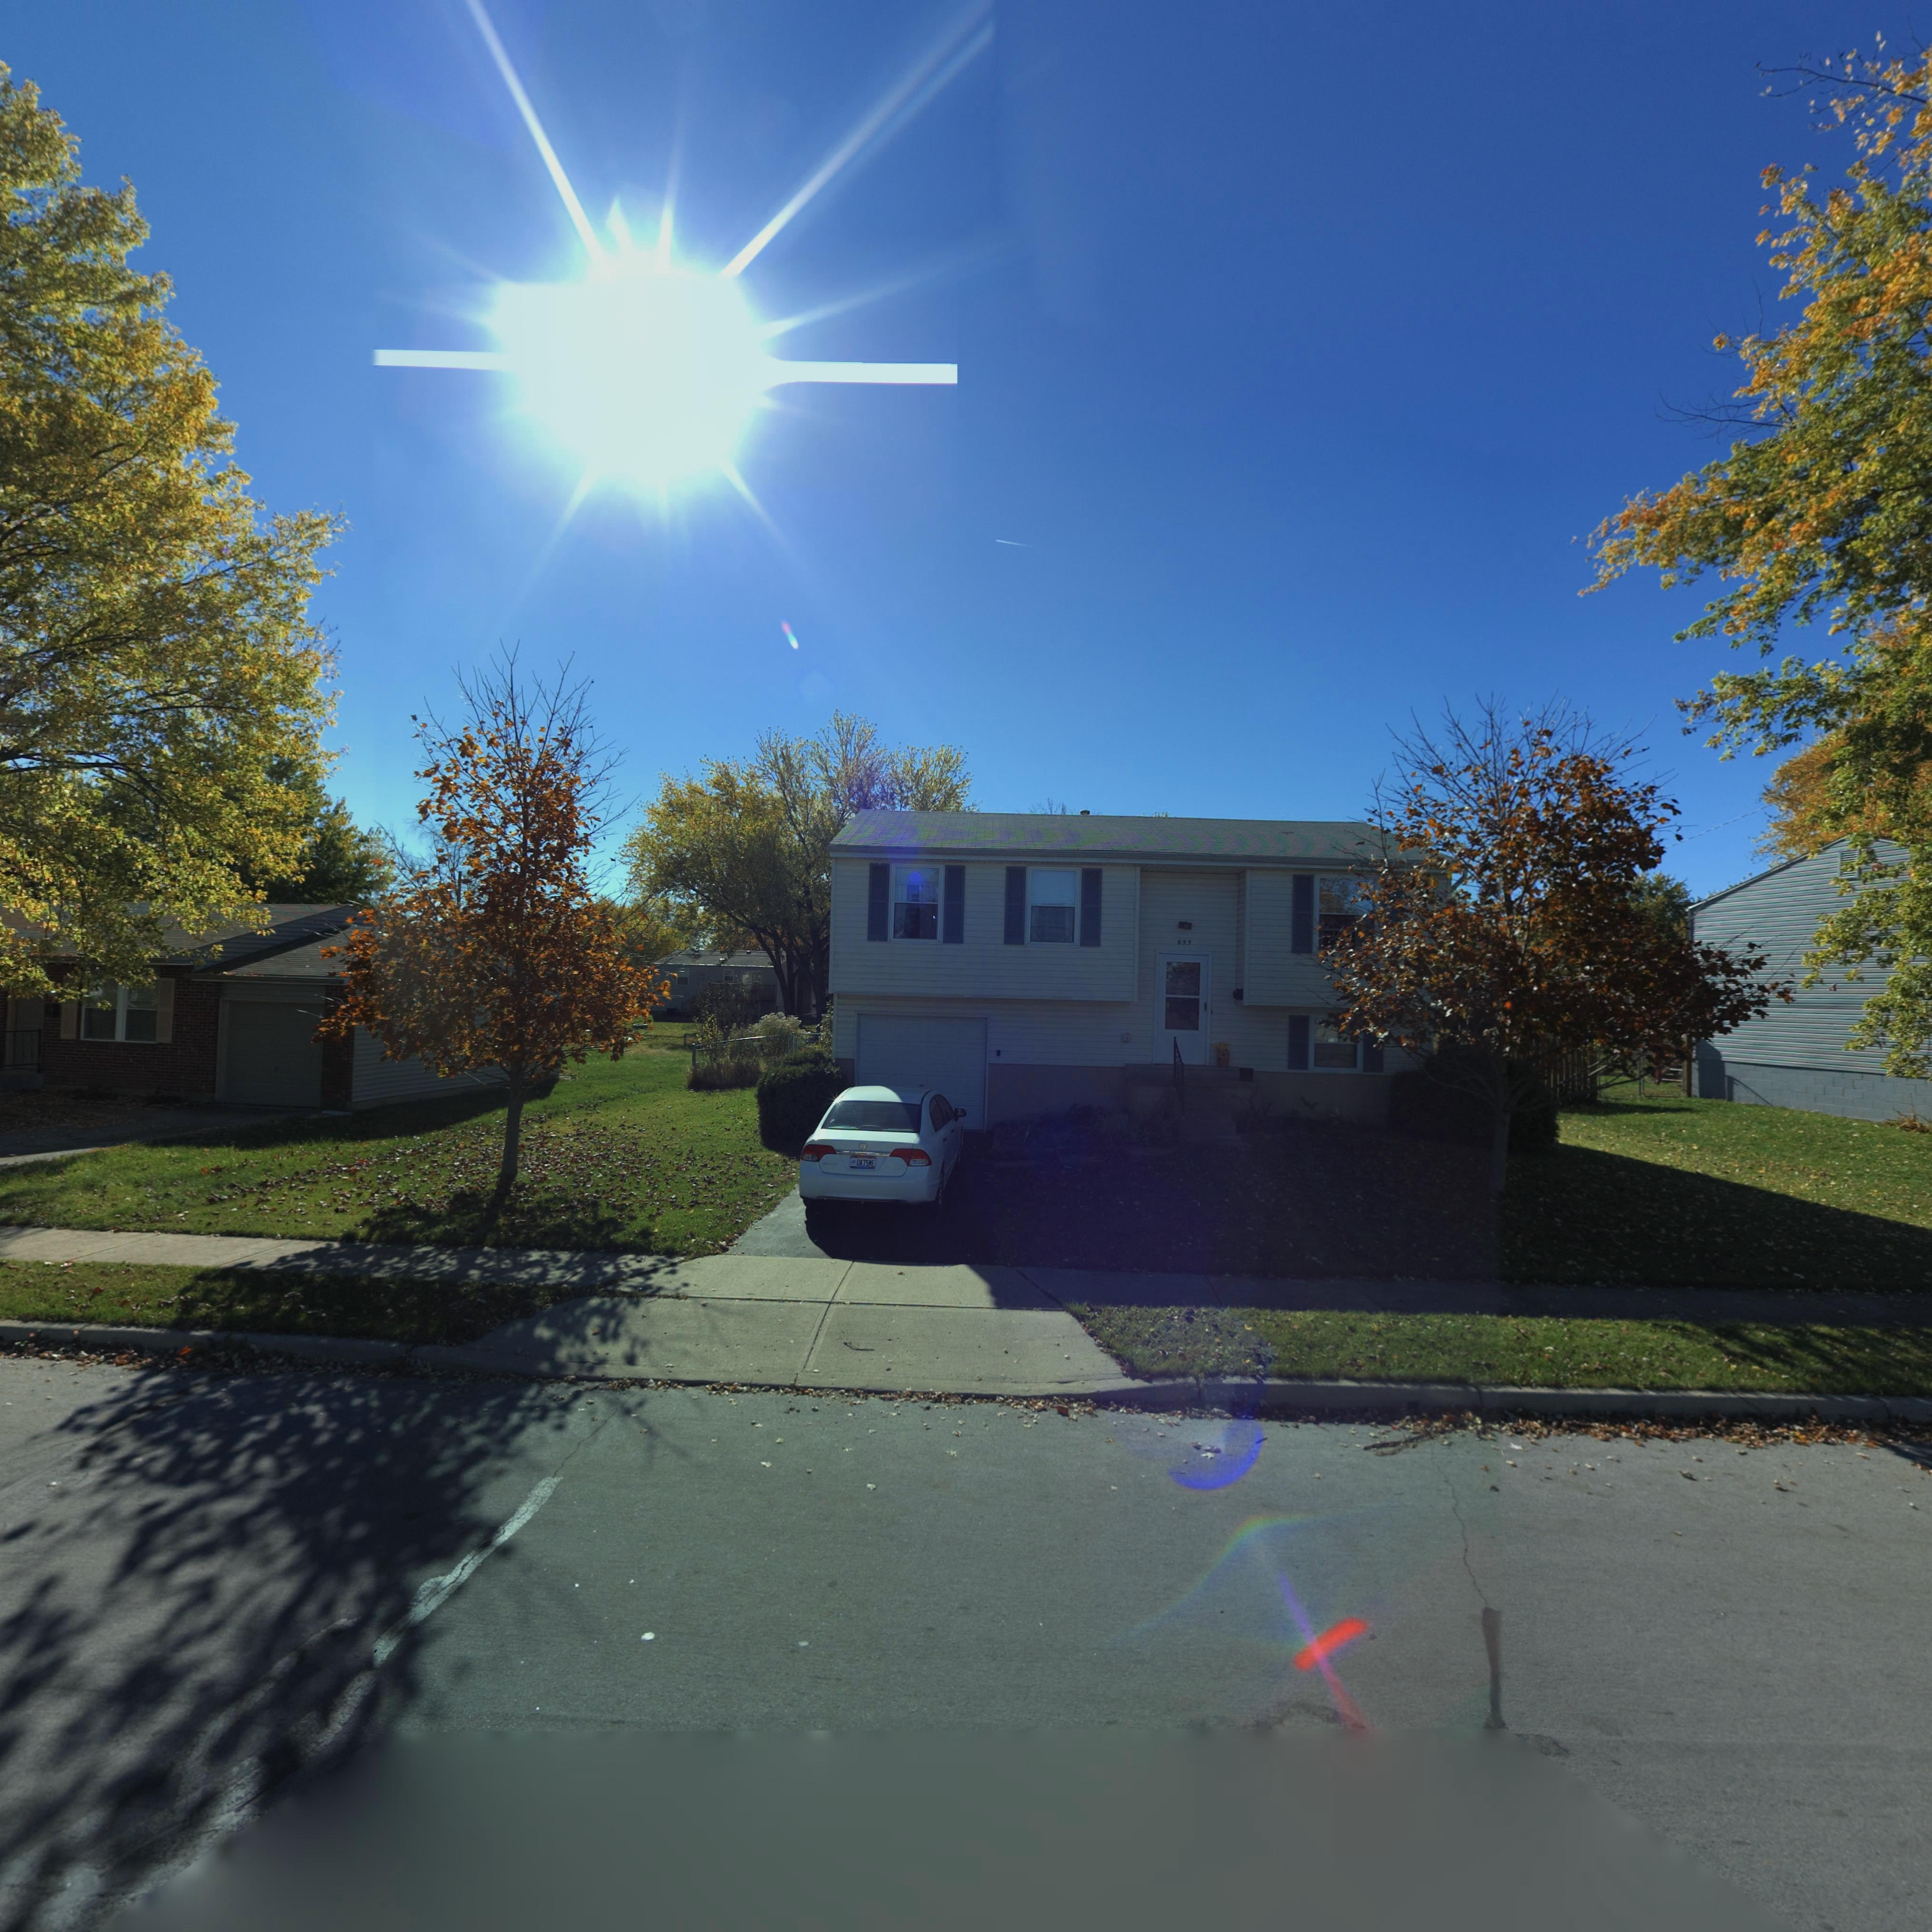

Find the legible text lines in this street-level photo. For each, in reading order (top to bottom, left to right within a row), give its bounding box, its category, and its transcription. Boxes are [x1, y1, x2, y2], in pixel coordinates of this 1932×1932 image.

[1176, 939, 1192, 946] StreetNumber: 655
[856, 1159, 875, 1168] None: D*75ME